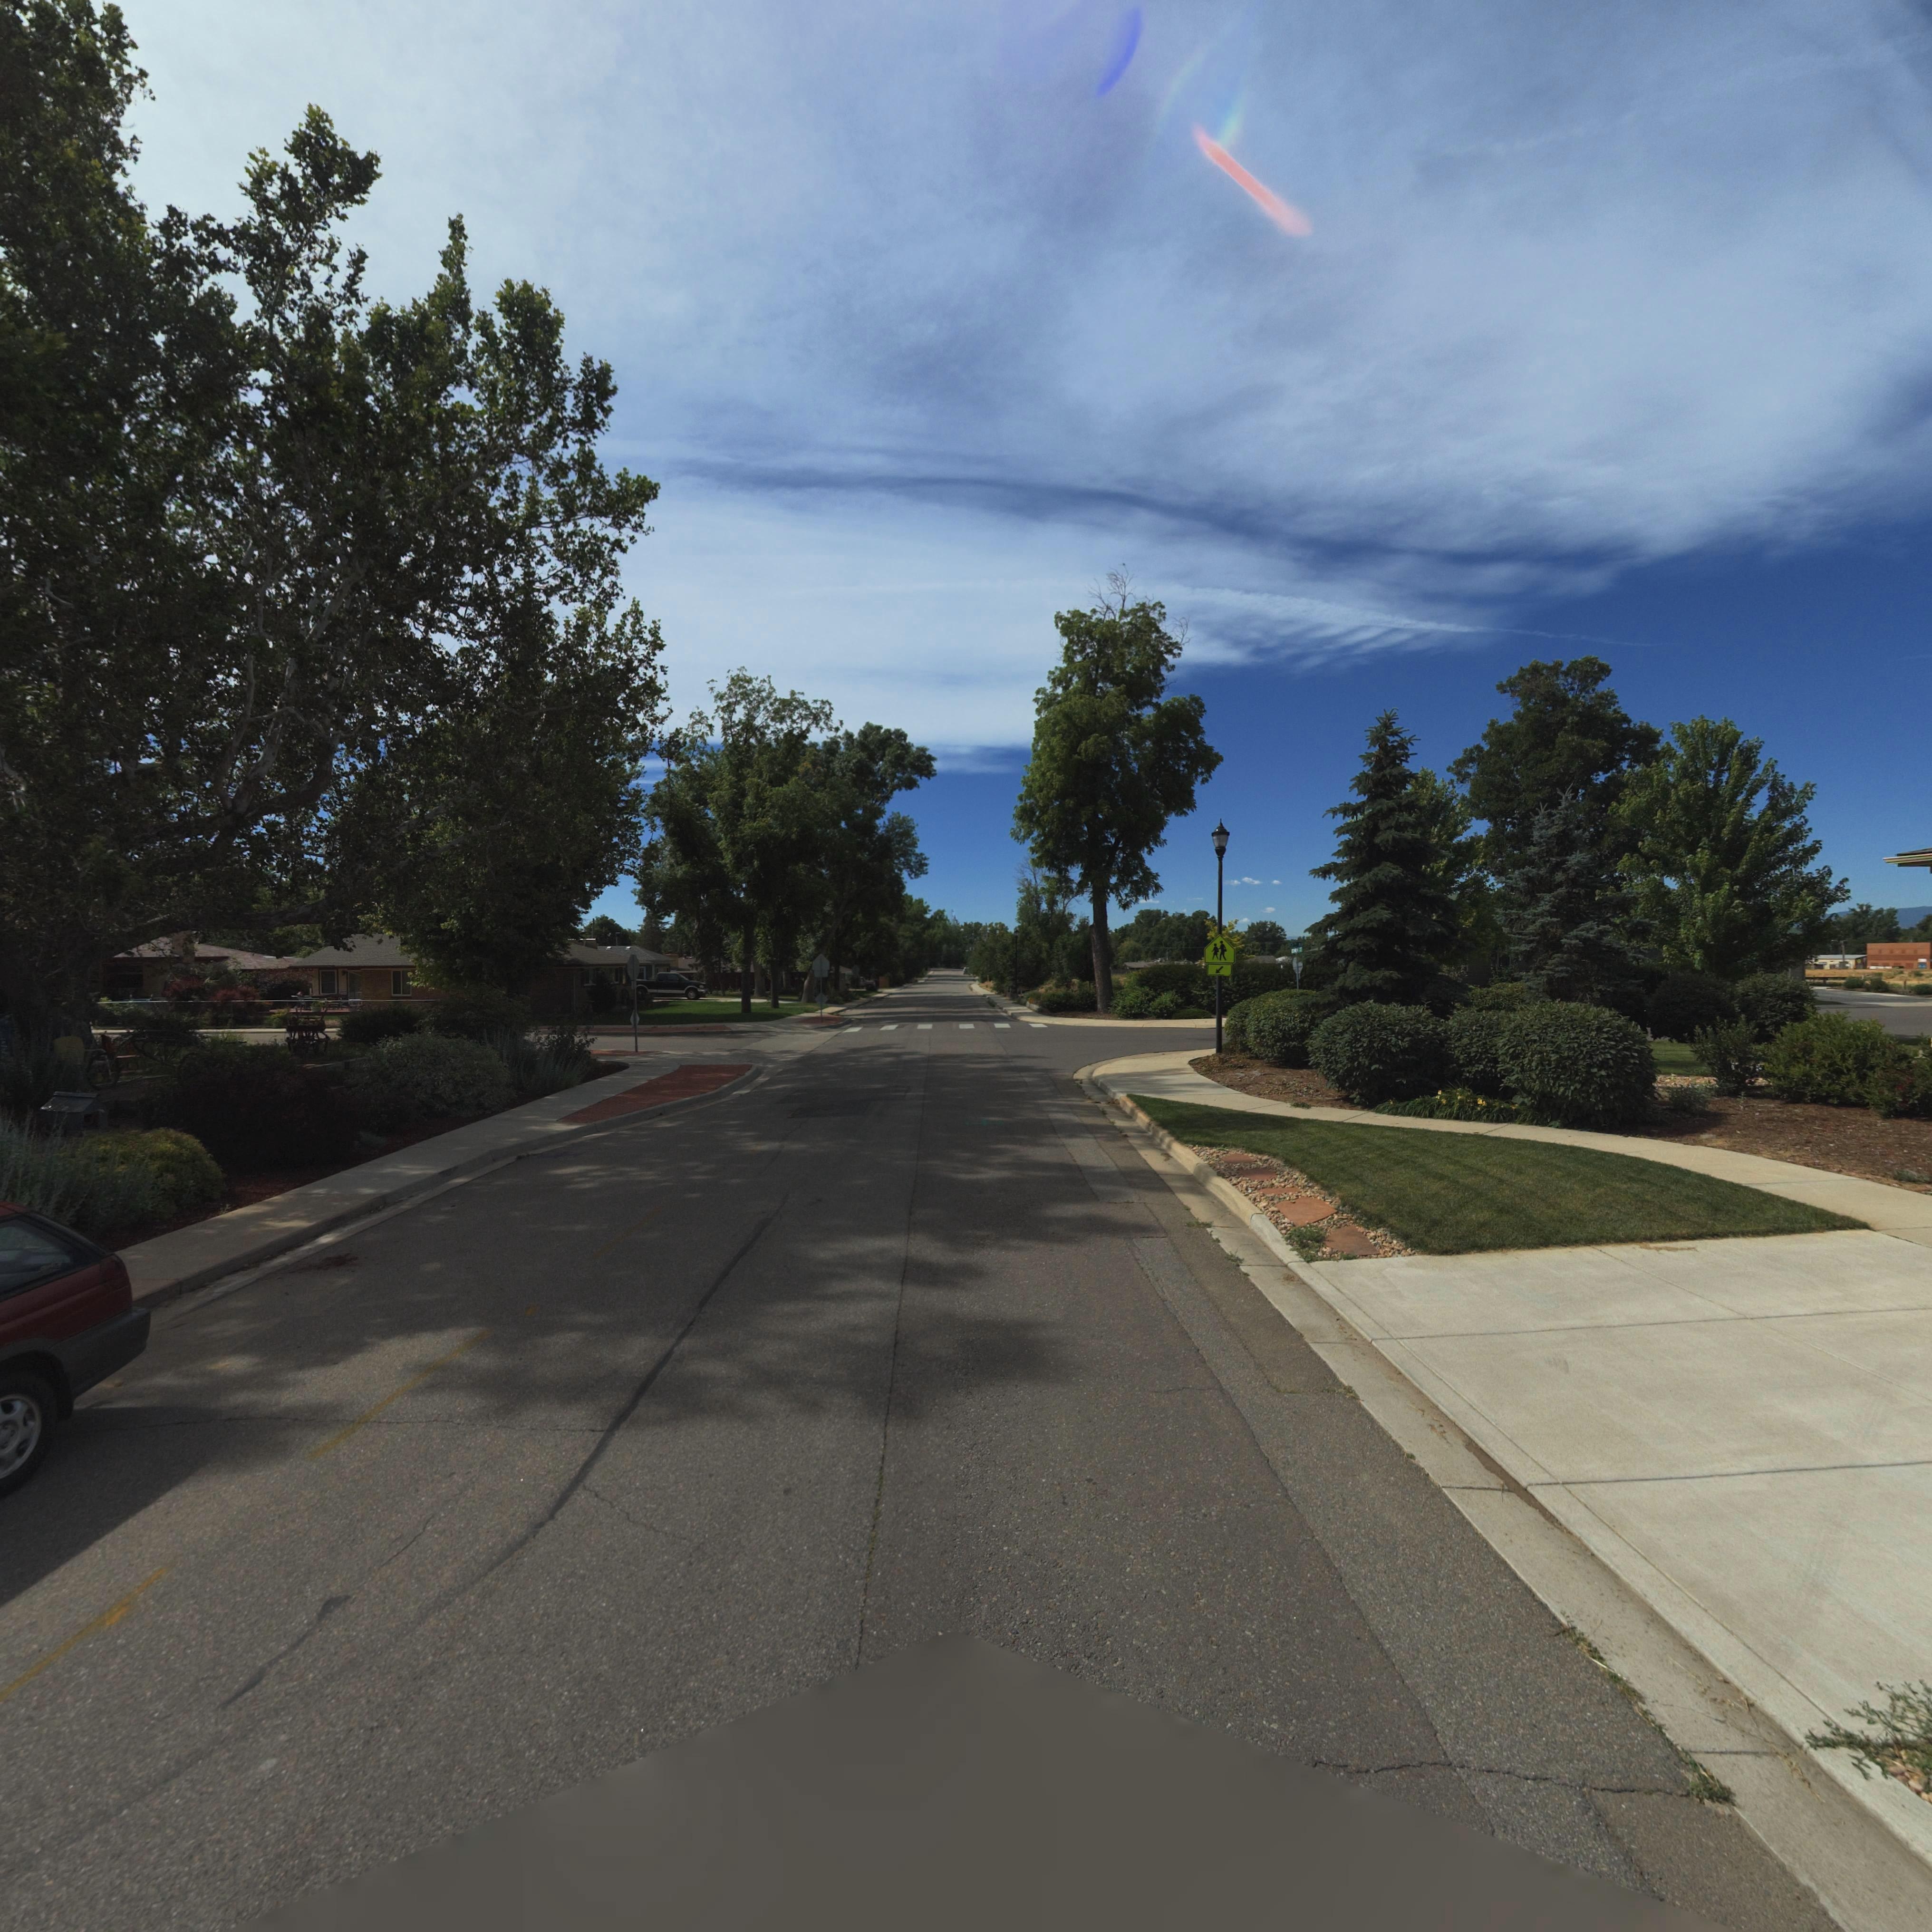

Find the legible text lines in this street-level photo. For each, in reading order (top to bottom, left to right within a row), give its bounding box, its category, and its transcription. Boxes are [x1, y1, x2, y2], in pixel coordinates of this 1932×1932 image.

[1289, 941, 1303, 947] StreetName: 15** A*